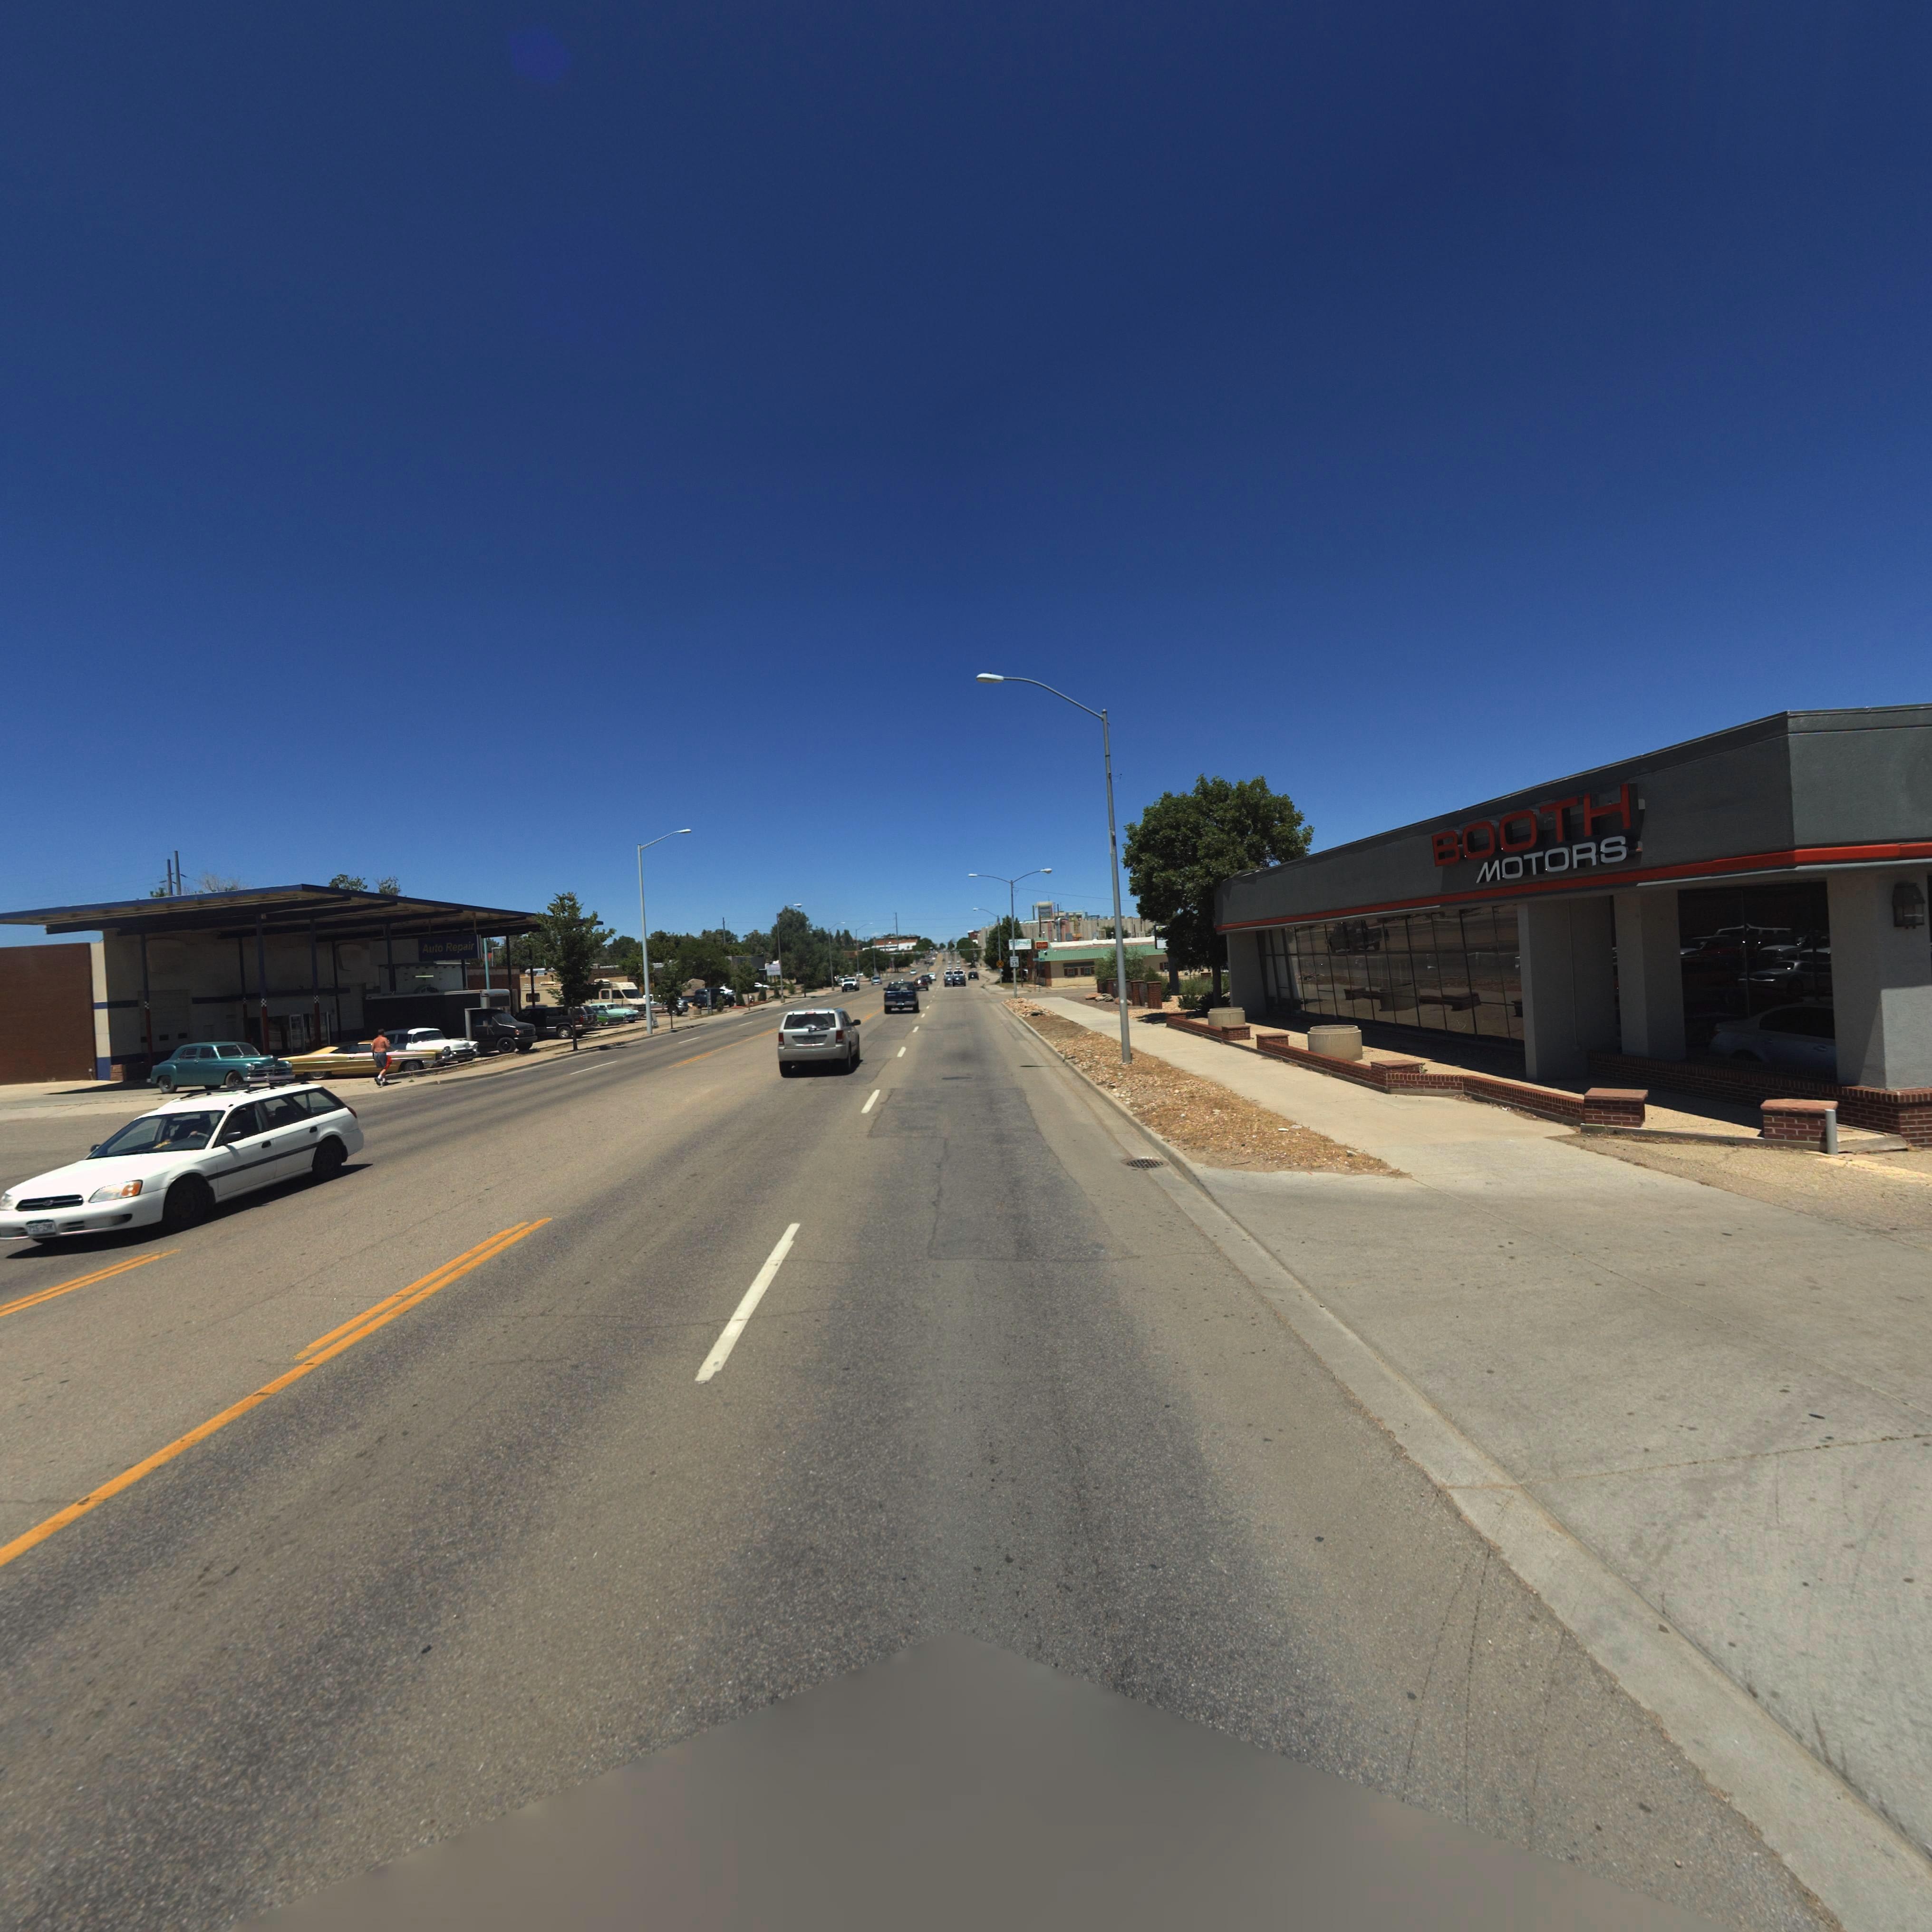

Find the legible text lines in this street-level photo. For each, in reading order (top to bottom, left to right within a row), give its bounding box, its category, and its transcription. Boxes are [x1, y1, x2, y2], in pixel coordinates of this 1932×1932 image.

[1430, 781, 1632, 868] BusinessName: BOOTH
[1475, 835, 1629, 884] BusinessName: MOTORS
[1010, 939, 1031, 945] BusinessName: **C*r**s